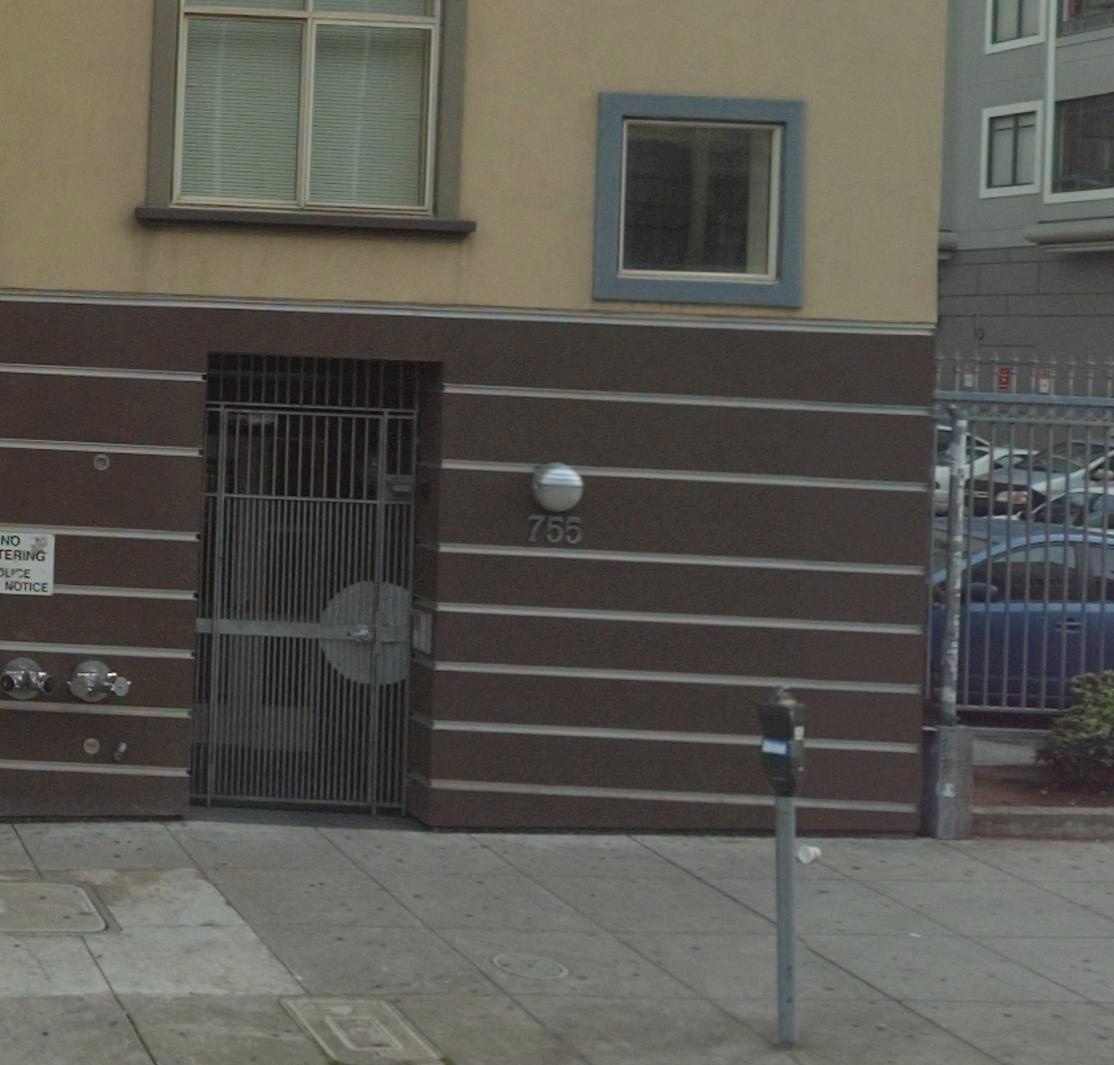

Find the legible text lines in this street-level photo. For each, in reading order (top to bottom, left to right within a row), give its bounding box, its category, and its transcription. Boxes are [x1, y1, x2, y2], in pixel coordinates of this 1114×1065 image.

[525, 513, 583, 544] StreetNumber: 755
[0, 534, 20, 547] None: NO
[3, 548, 47, 563] None: ERING
[3, 579, 49, 594] None: NOTICE